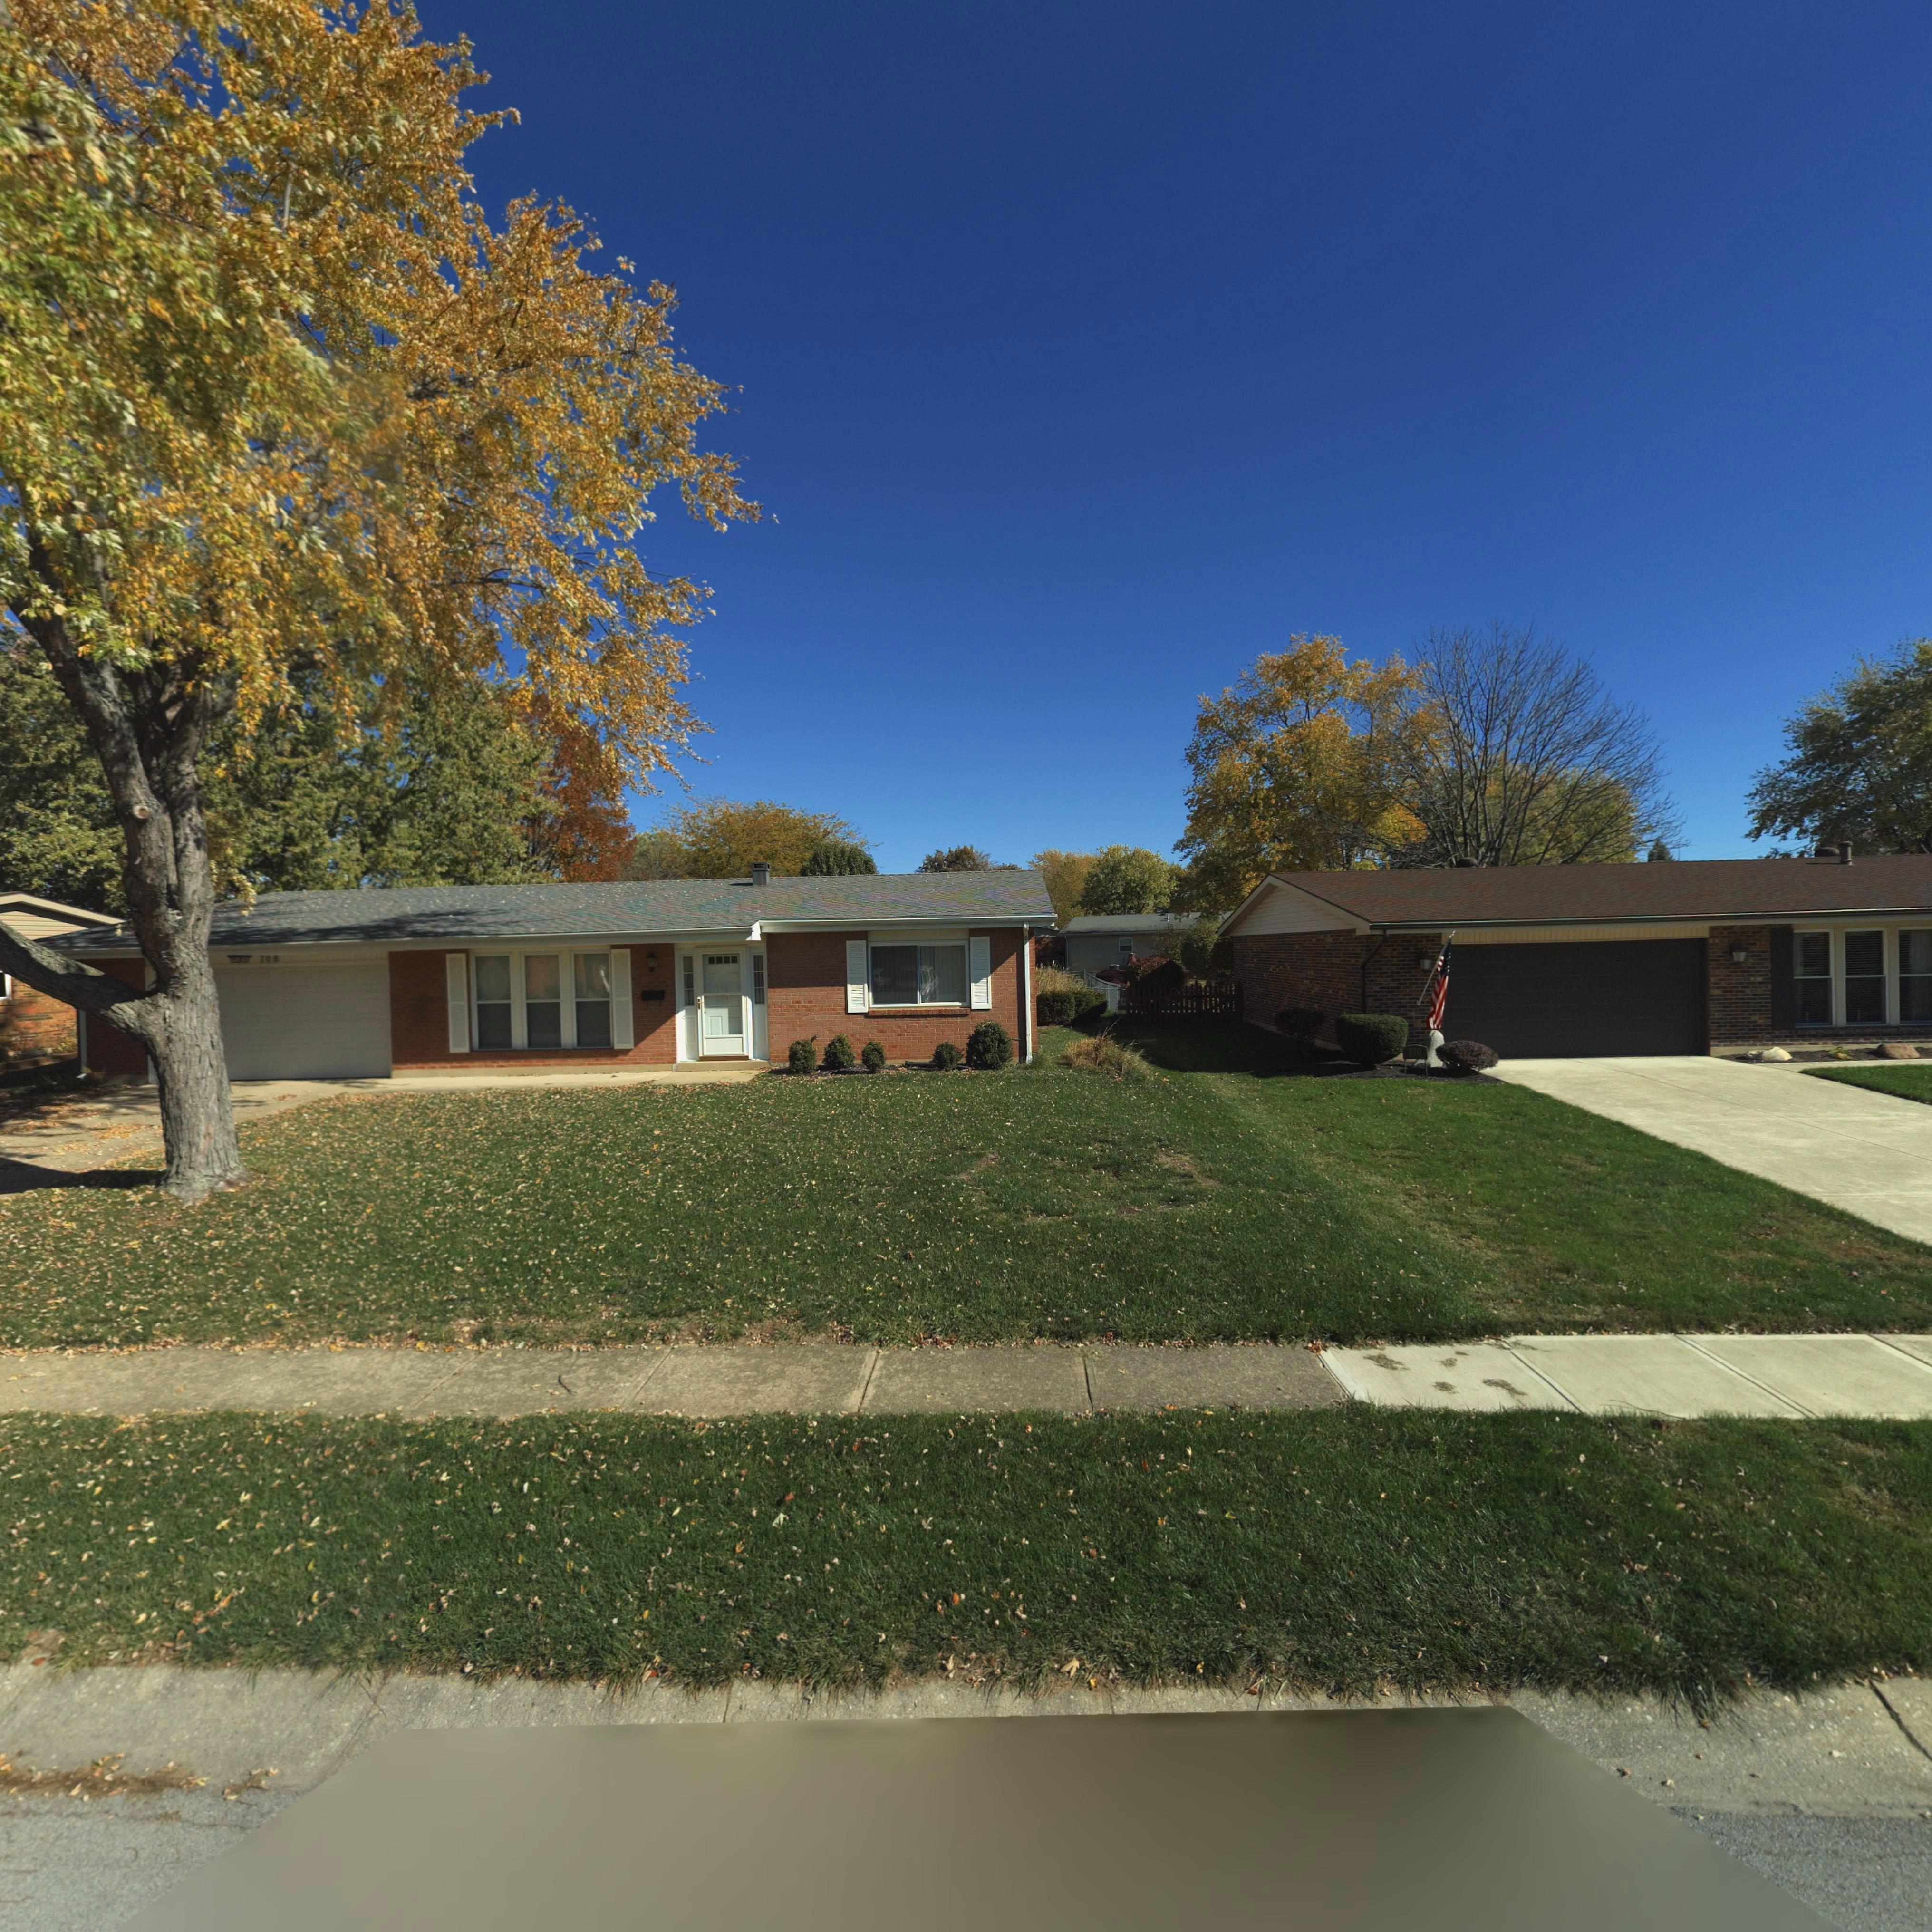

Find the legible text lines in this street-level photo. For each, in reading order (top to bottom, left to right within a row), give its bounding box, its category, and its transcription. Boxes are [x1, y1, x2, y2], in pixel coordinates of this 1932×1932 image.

[259, 954, 279, 964] StreetNumber: 708